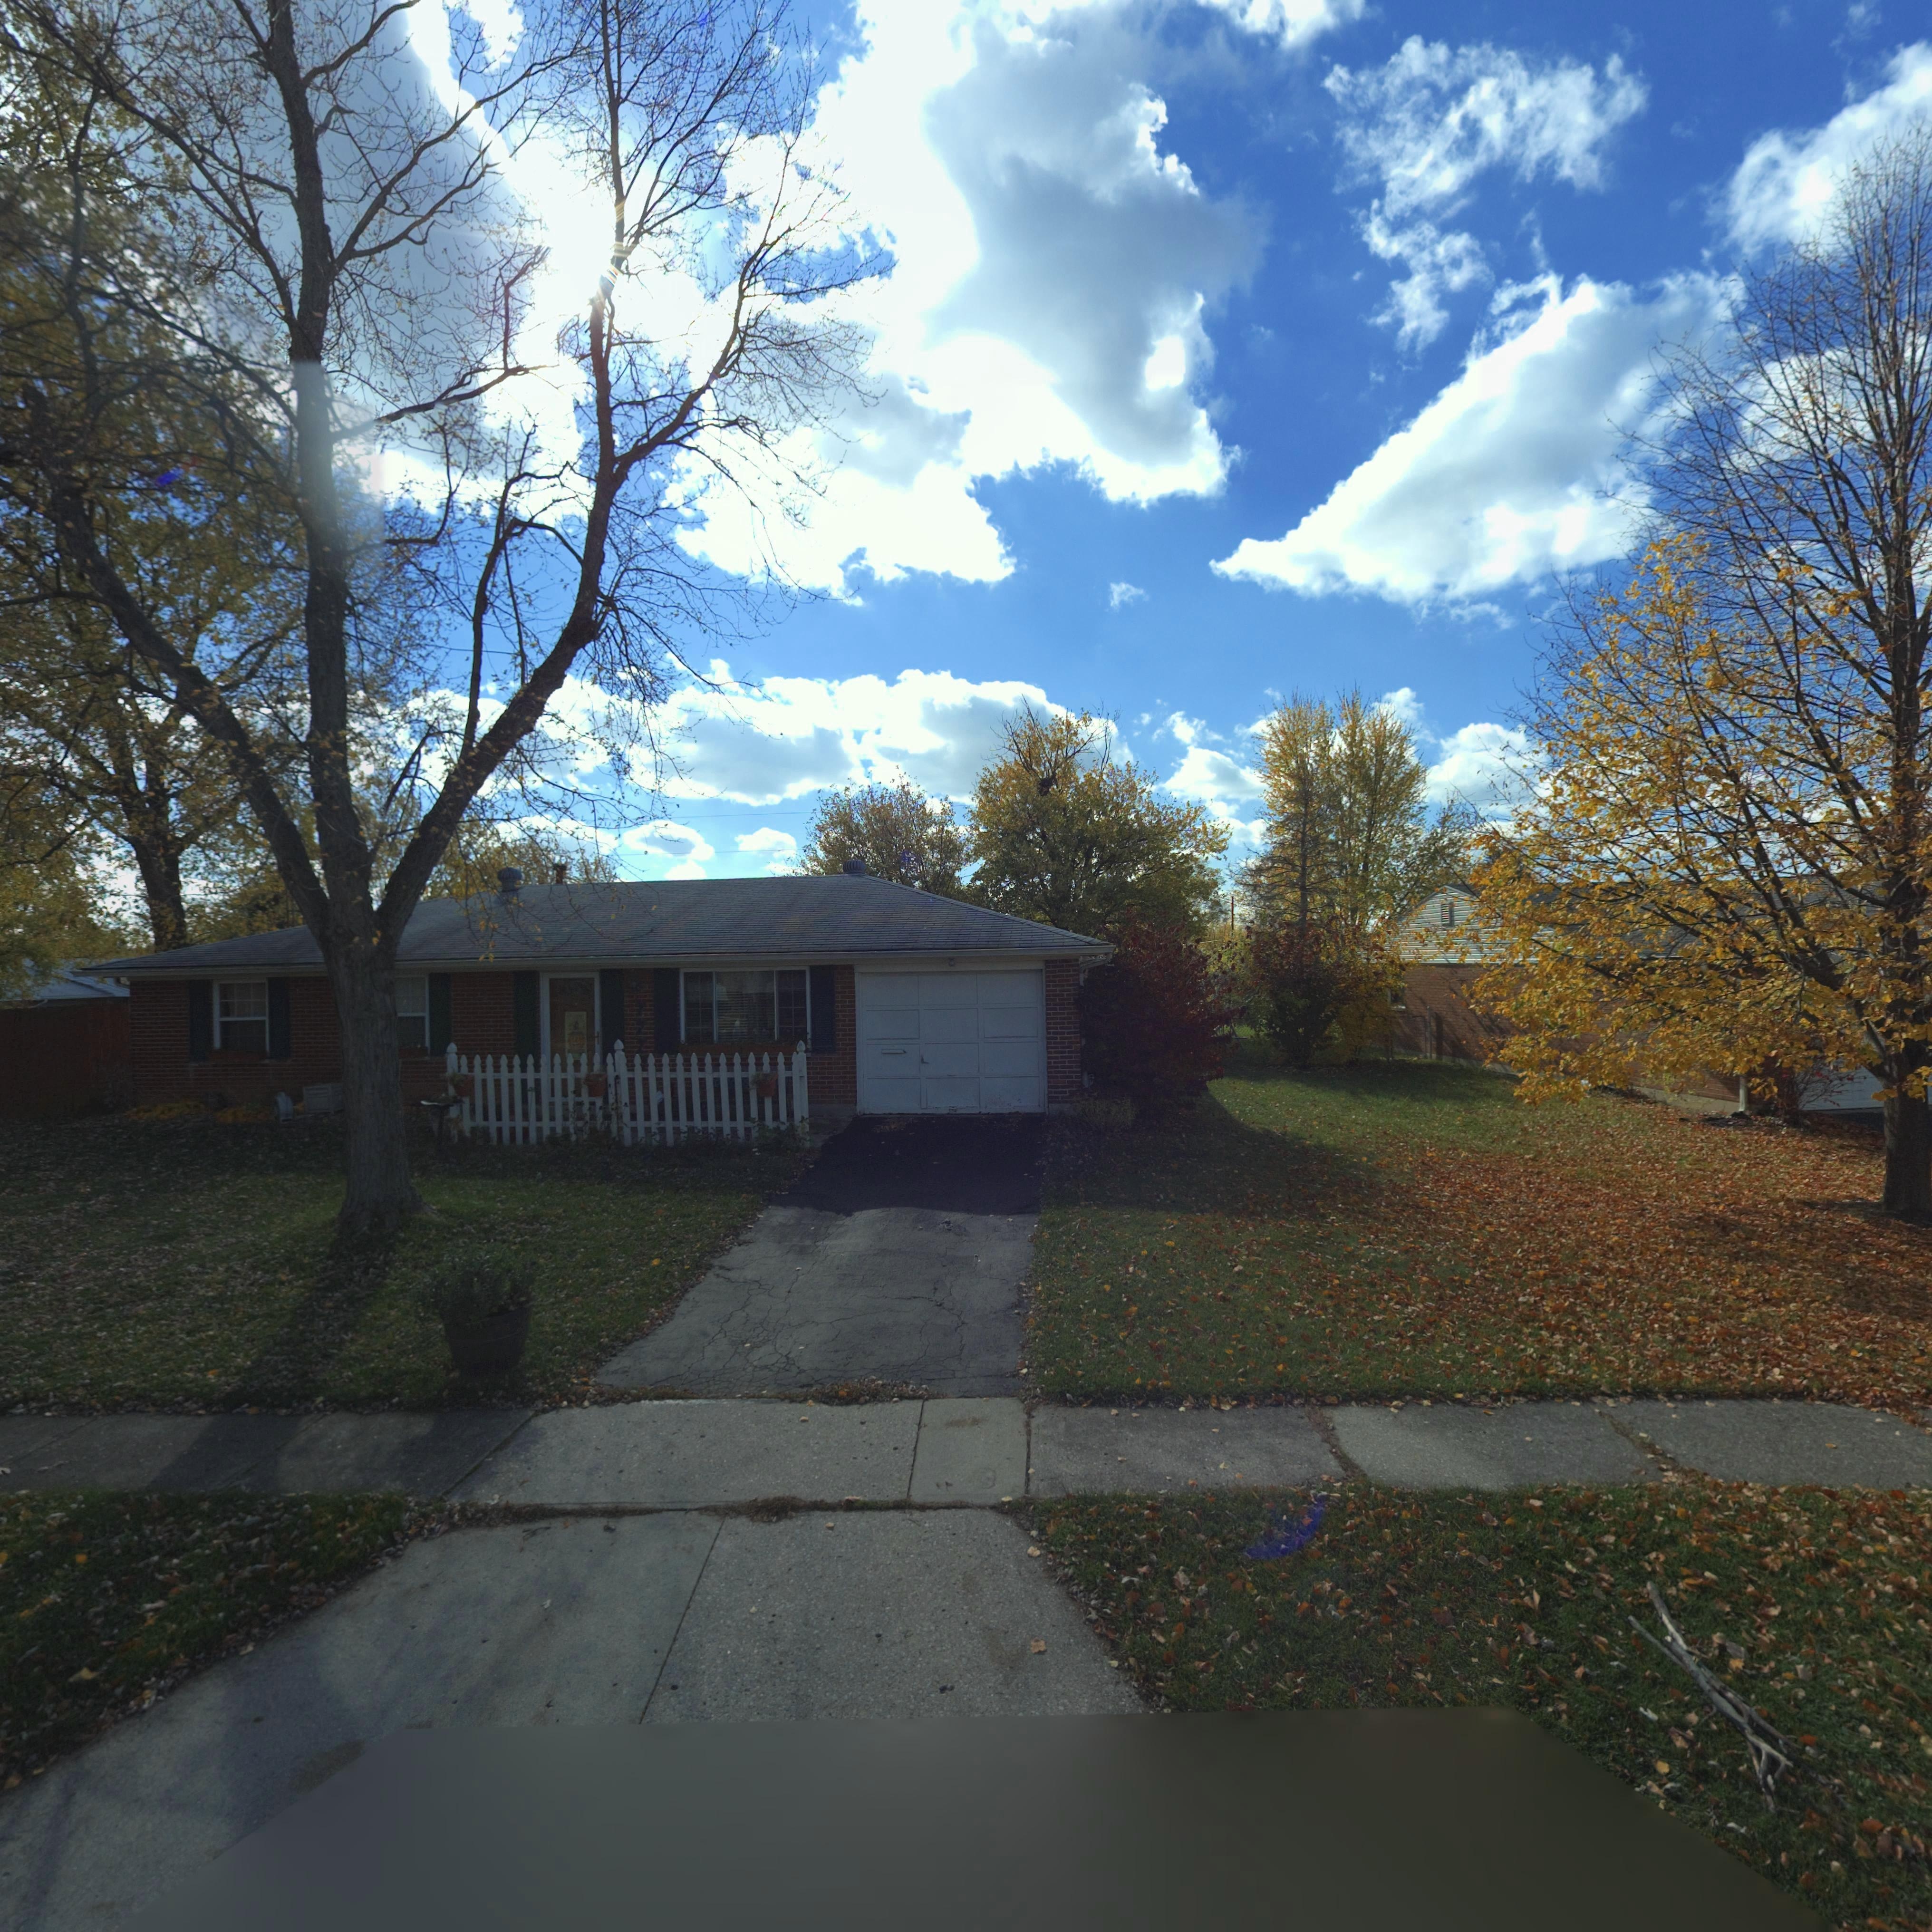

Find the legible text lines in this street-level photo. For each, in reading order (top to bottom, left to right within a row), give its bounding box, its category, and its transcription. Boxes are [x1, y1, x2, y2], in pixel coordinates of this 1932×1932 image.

[634, 1001, 647, 1056] StreetNumber: 777